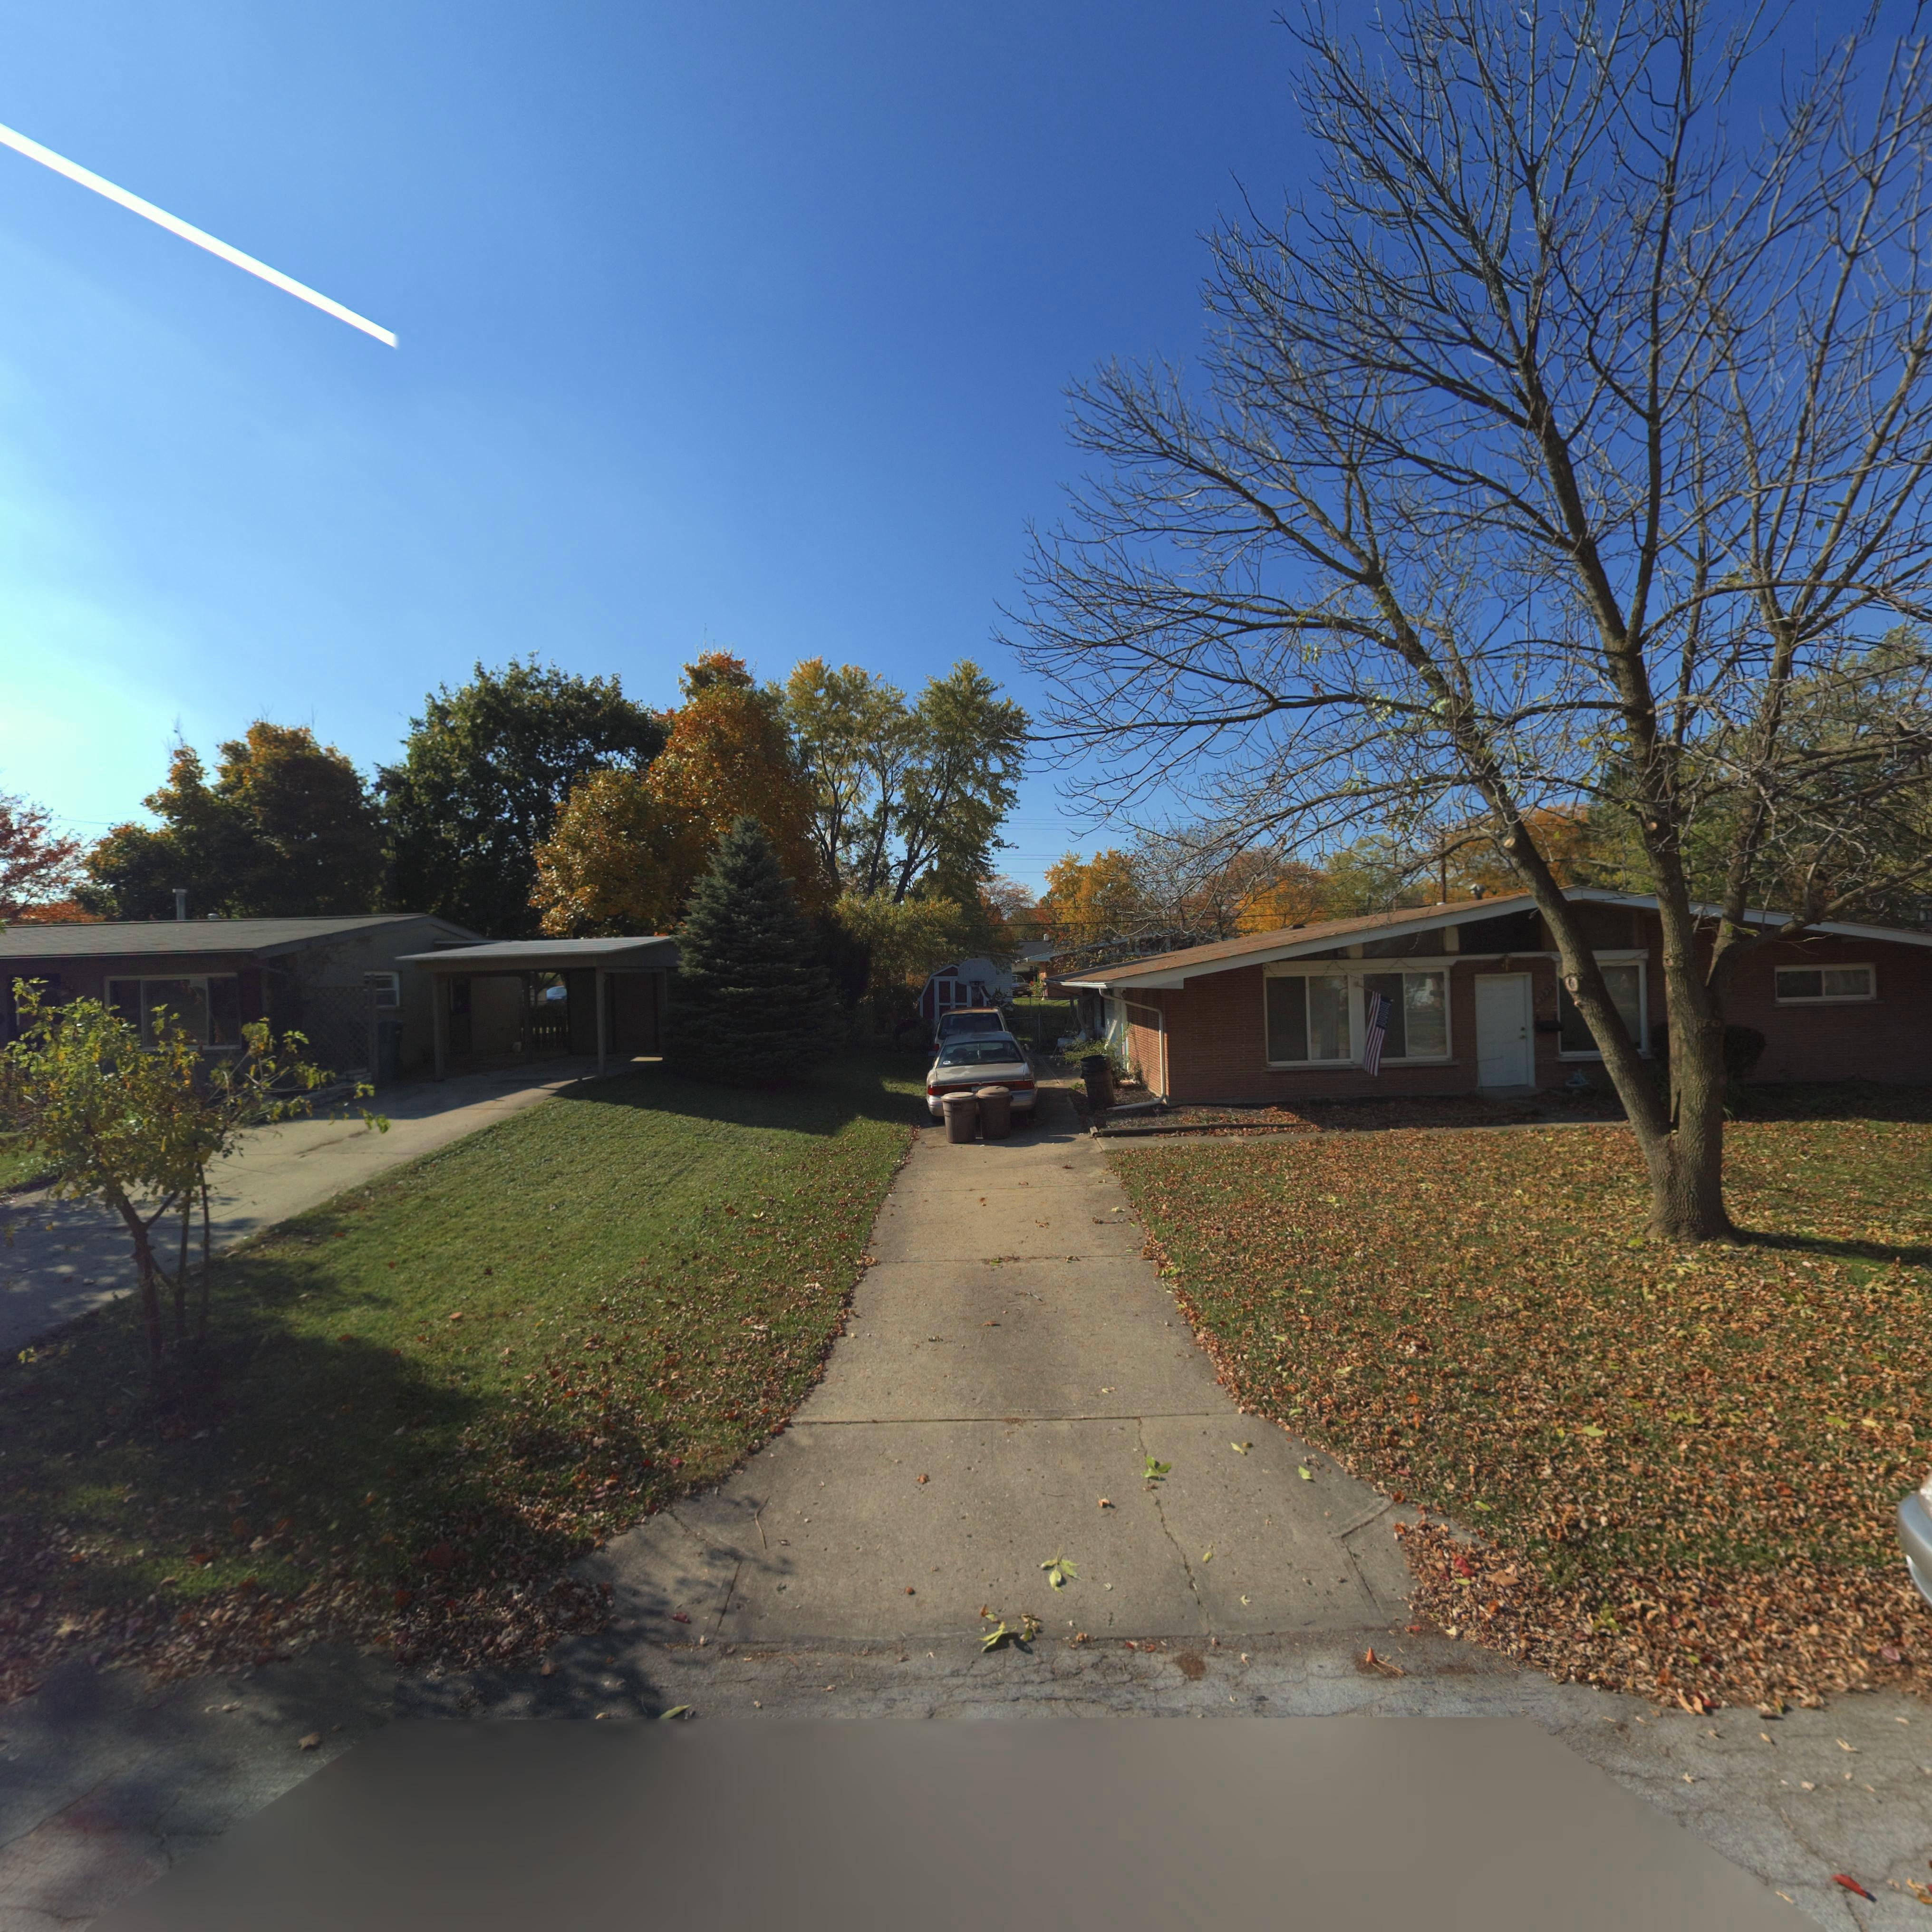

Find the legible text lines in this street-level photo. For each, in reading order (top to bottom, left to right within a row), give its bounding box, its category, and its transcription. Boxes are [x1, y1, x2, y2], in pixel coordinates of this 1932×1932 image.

[1537, 983, 1555, 1003] StreetNumber: 3*39